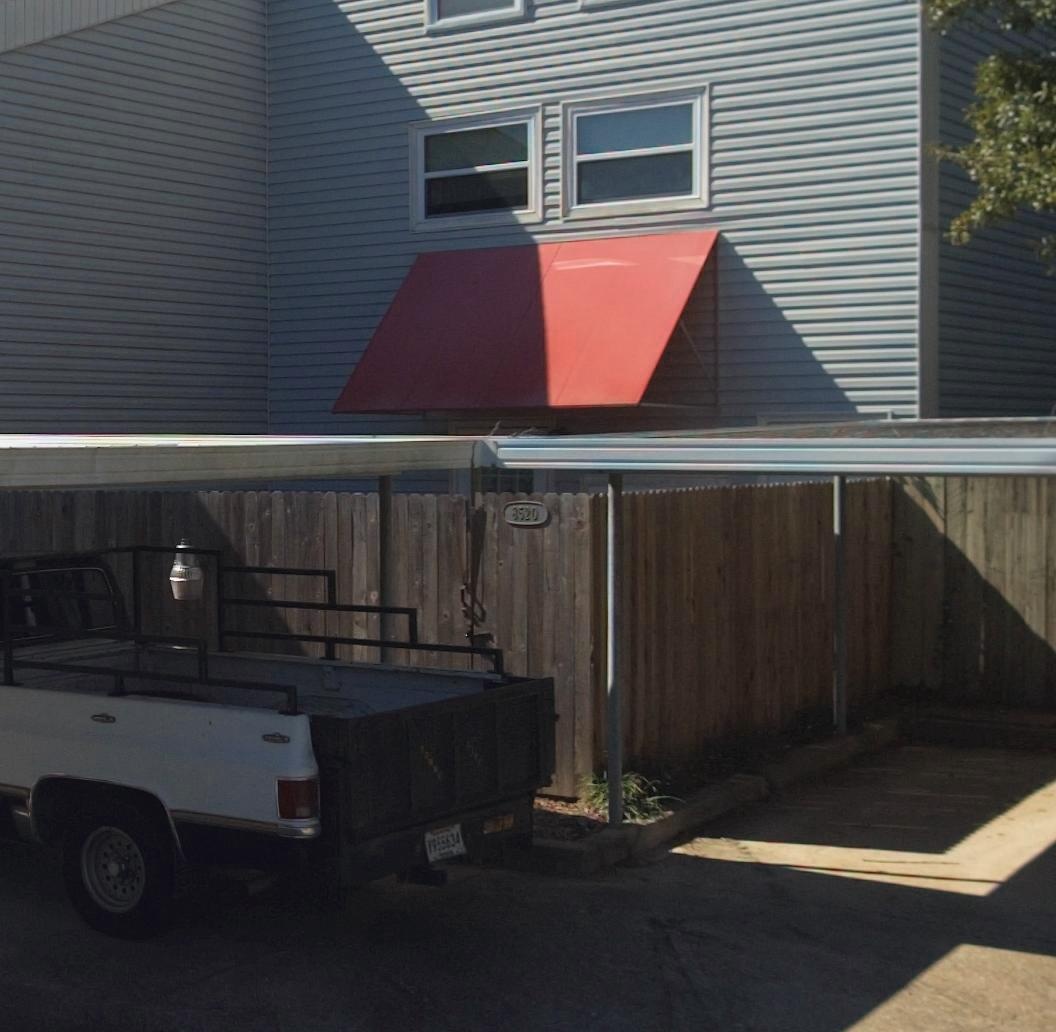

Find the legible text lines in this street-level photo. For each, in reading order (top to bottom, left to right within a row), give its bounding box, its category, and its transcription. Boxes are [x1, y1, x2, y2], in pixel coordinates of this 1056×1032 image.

[510, 505, 540, 523] StreetNumber: 8520
[424, 828, 465, 857] None: Y965634